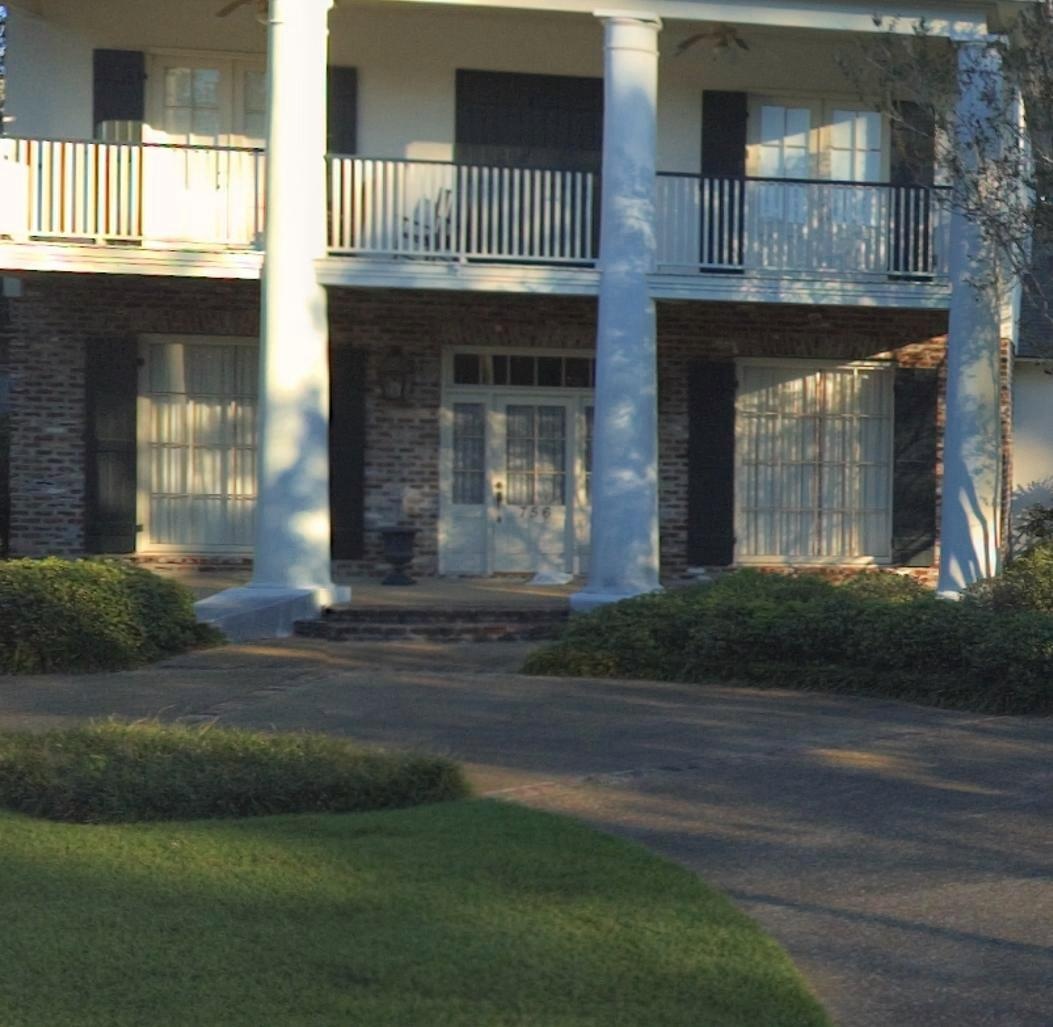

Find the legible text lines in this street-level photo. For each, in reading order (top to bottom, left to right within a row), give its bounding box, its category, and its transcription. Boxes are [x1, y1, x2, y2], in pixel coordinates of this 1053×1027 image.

[517, 505, 552, 519] StreetNumber: 756